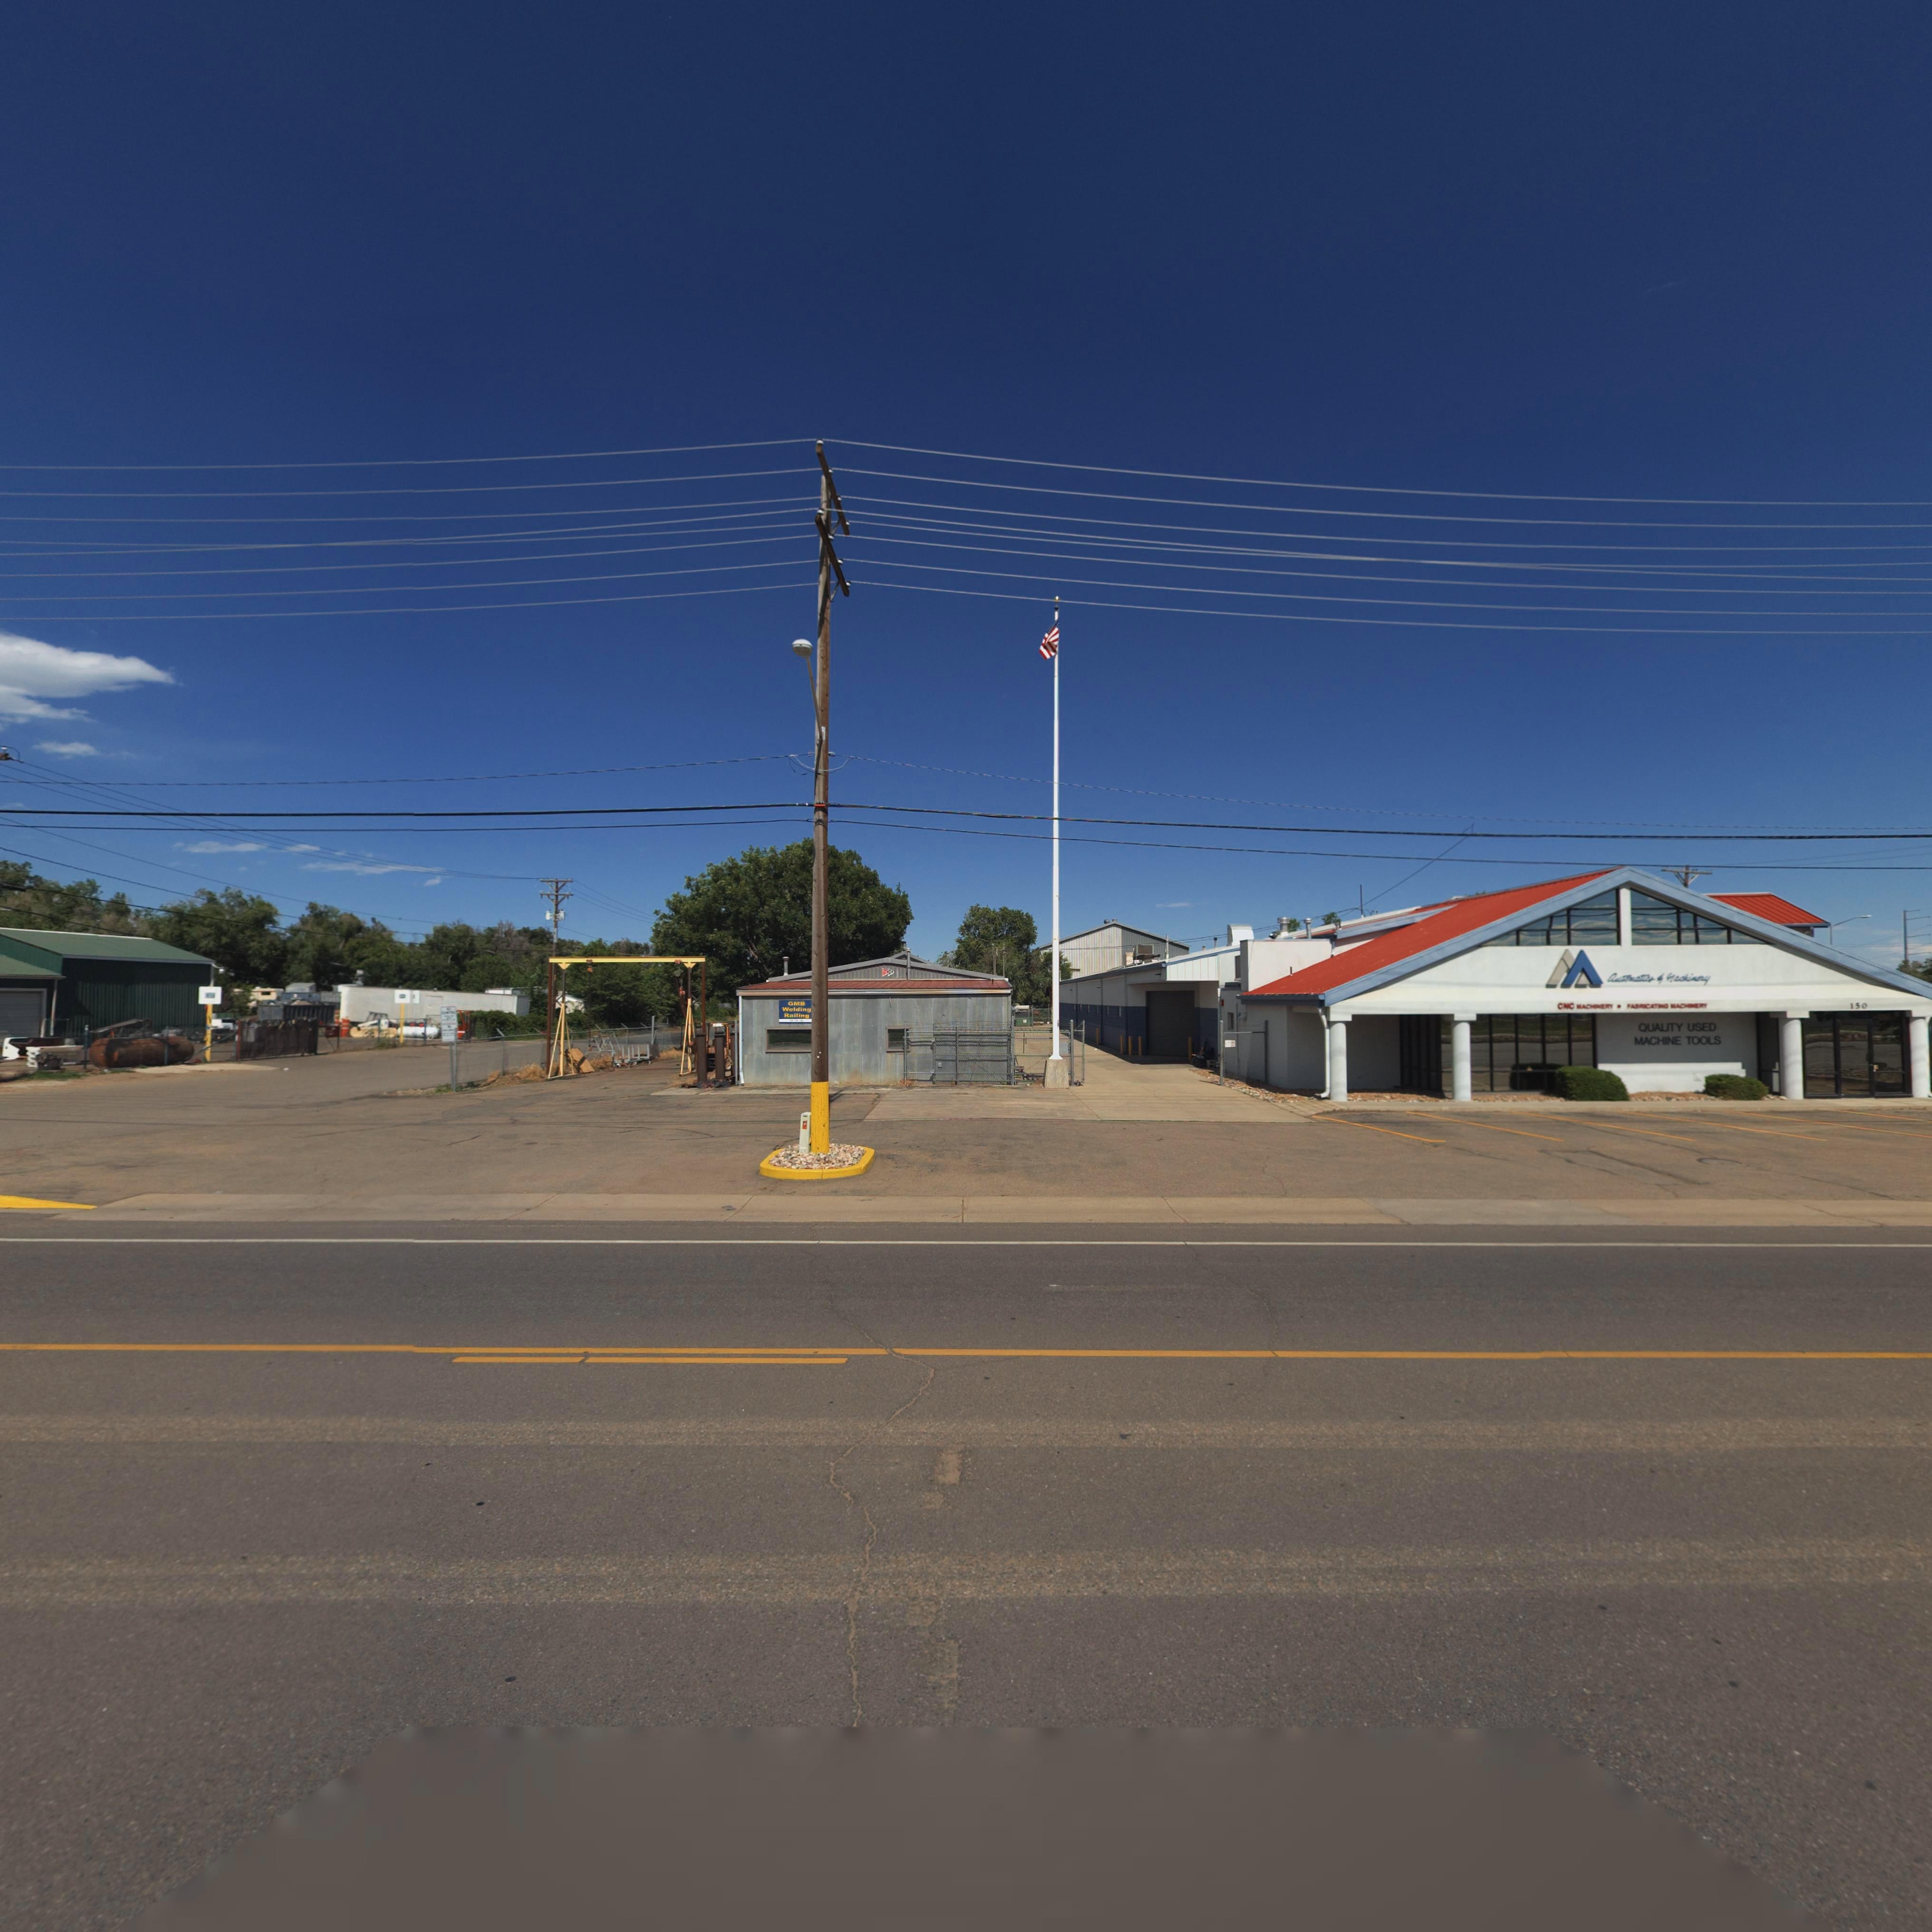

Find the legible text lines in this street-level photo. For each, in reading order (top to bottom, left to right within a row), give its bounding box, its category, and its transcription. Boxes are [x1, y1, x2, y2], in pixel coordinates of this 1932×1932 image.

[1605, 970, 1711, 986] BusinessName: Automatics & Machinery
[787, 1001, 805, 1006] BusinessName: GMB
[1849, 1001, 1868, 1009] StreetNumber: 150
[782, 1006, 811, 1013] BusinessName: Welding
[784, 1013, 809, 1019] BusinessName: Railing